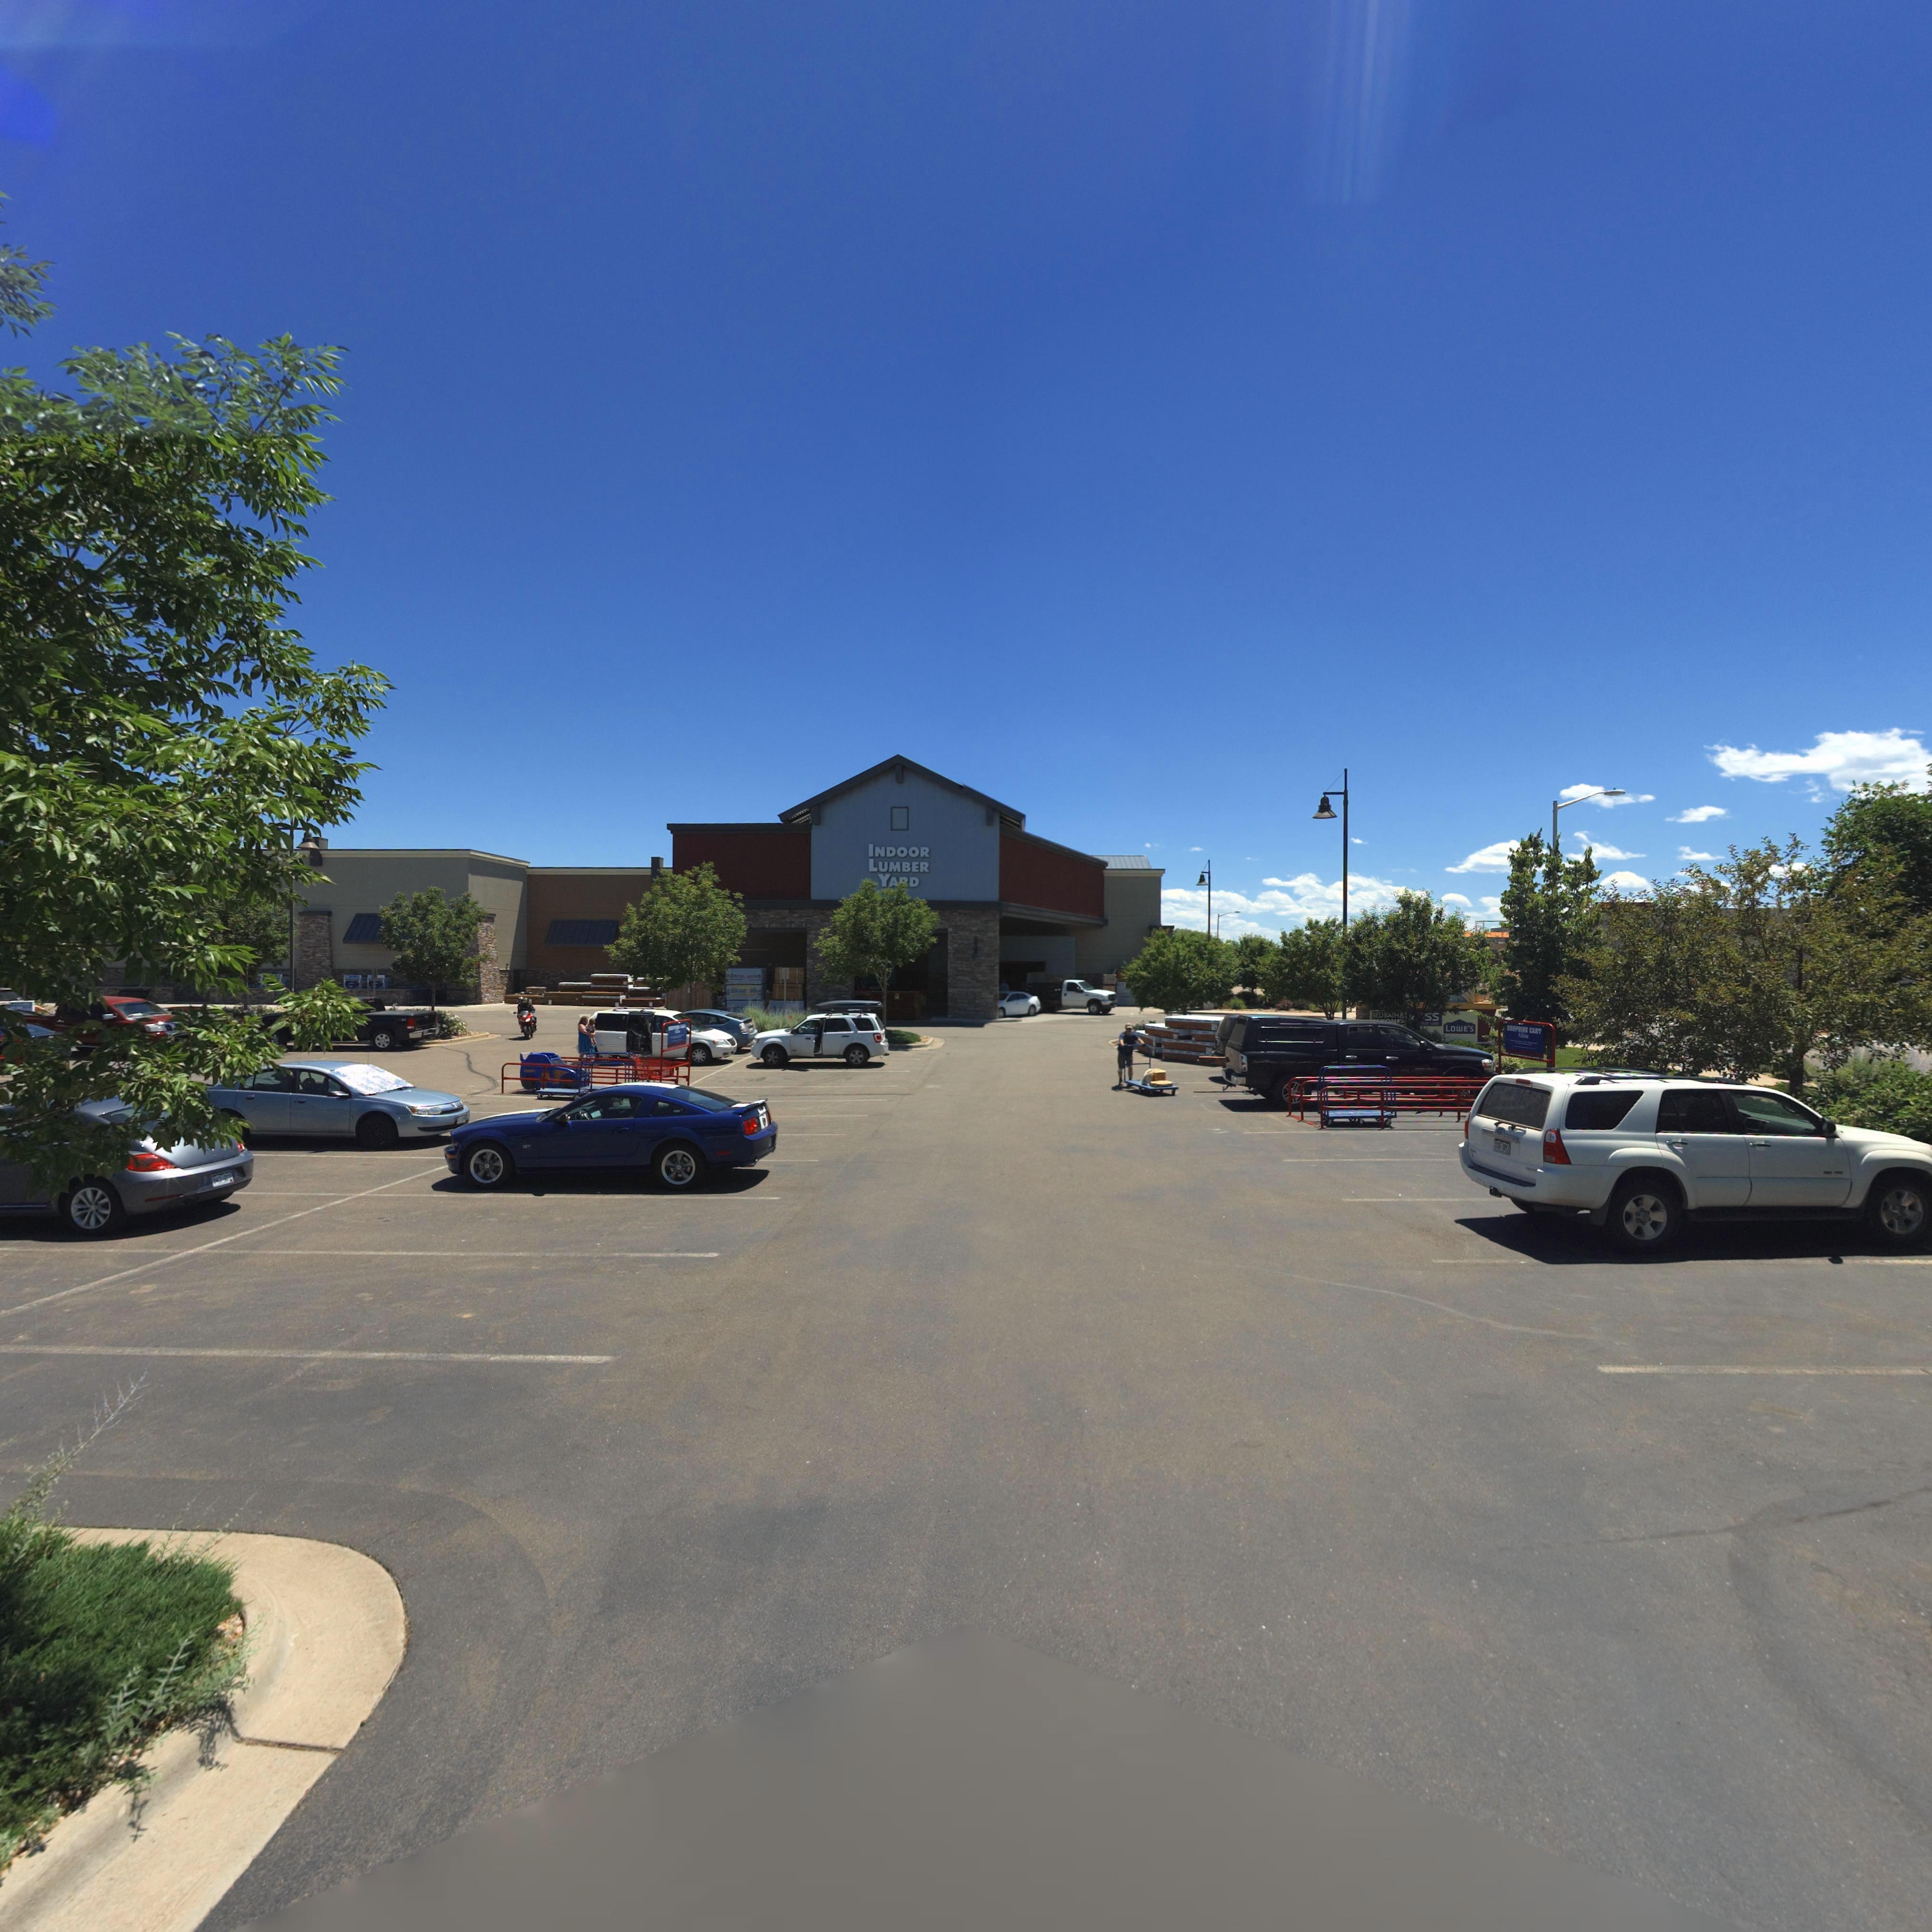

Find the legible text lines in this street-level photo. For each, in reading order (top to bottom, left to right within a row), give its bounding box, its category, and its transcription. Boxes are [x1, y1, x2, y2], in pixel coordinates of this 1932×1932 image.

[1372, 1011, 1404, 1018] BusinessName: BEDBATH*
[1409, 1011, 1439, 1021] BusinessName: **SS
[1372, 1018, 1405, 1024] BusinessName: ****ND
[1421, 1022, 1439, 1025] BusinessName: FOR LESS
[1445, 1024, 1474, 1032] BusinessName: LOWE'S